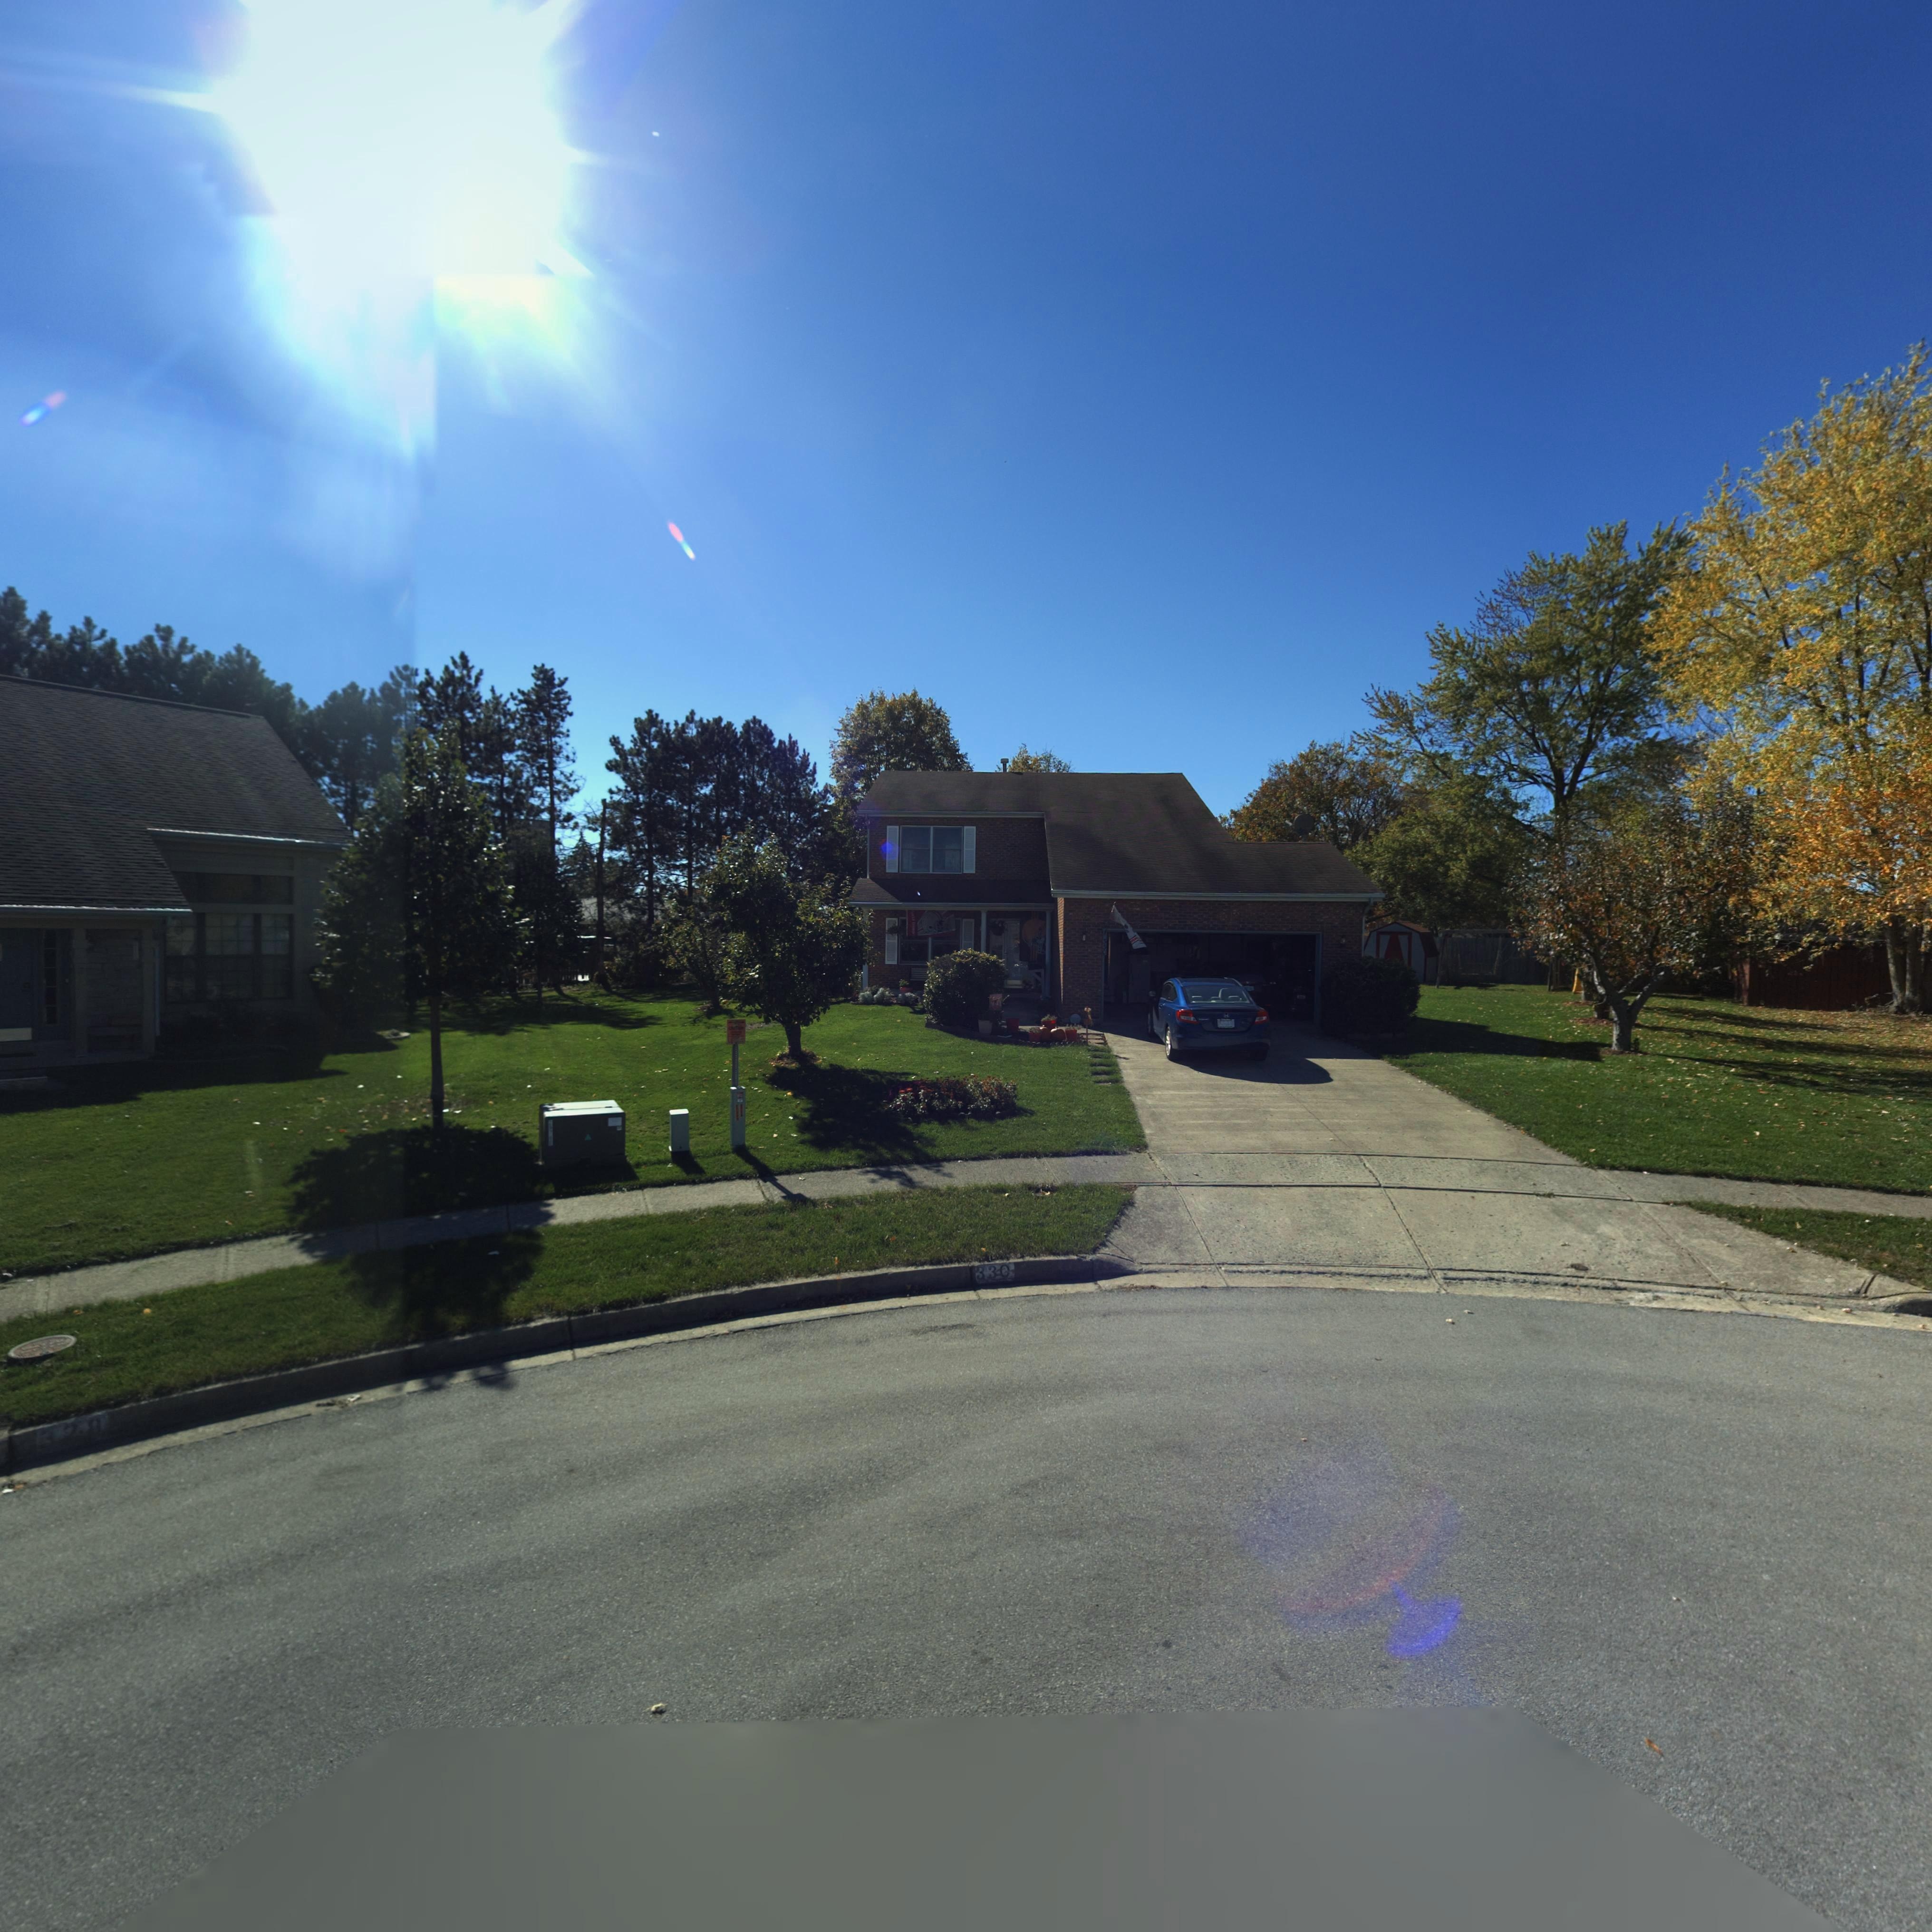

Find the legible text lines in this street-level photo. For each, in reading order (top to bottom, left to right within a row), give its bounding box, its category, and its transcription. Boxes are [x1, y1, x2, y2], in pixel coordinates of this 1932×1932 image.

[1101, 938, 1107, 956] StreetNumber: 330
[975, 1263, 1012, 1282] StreetNumber: 330